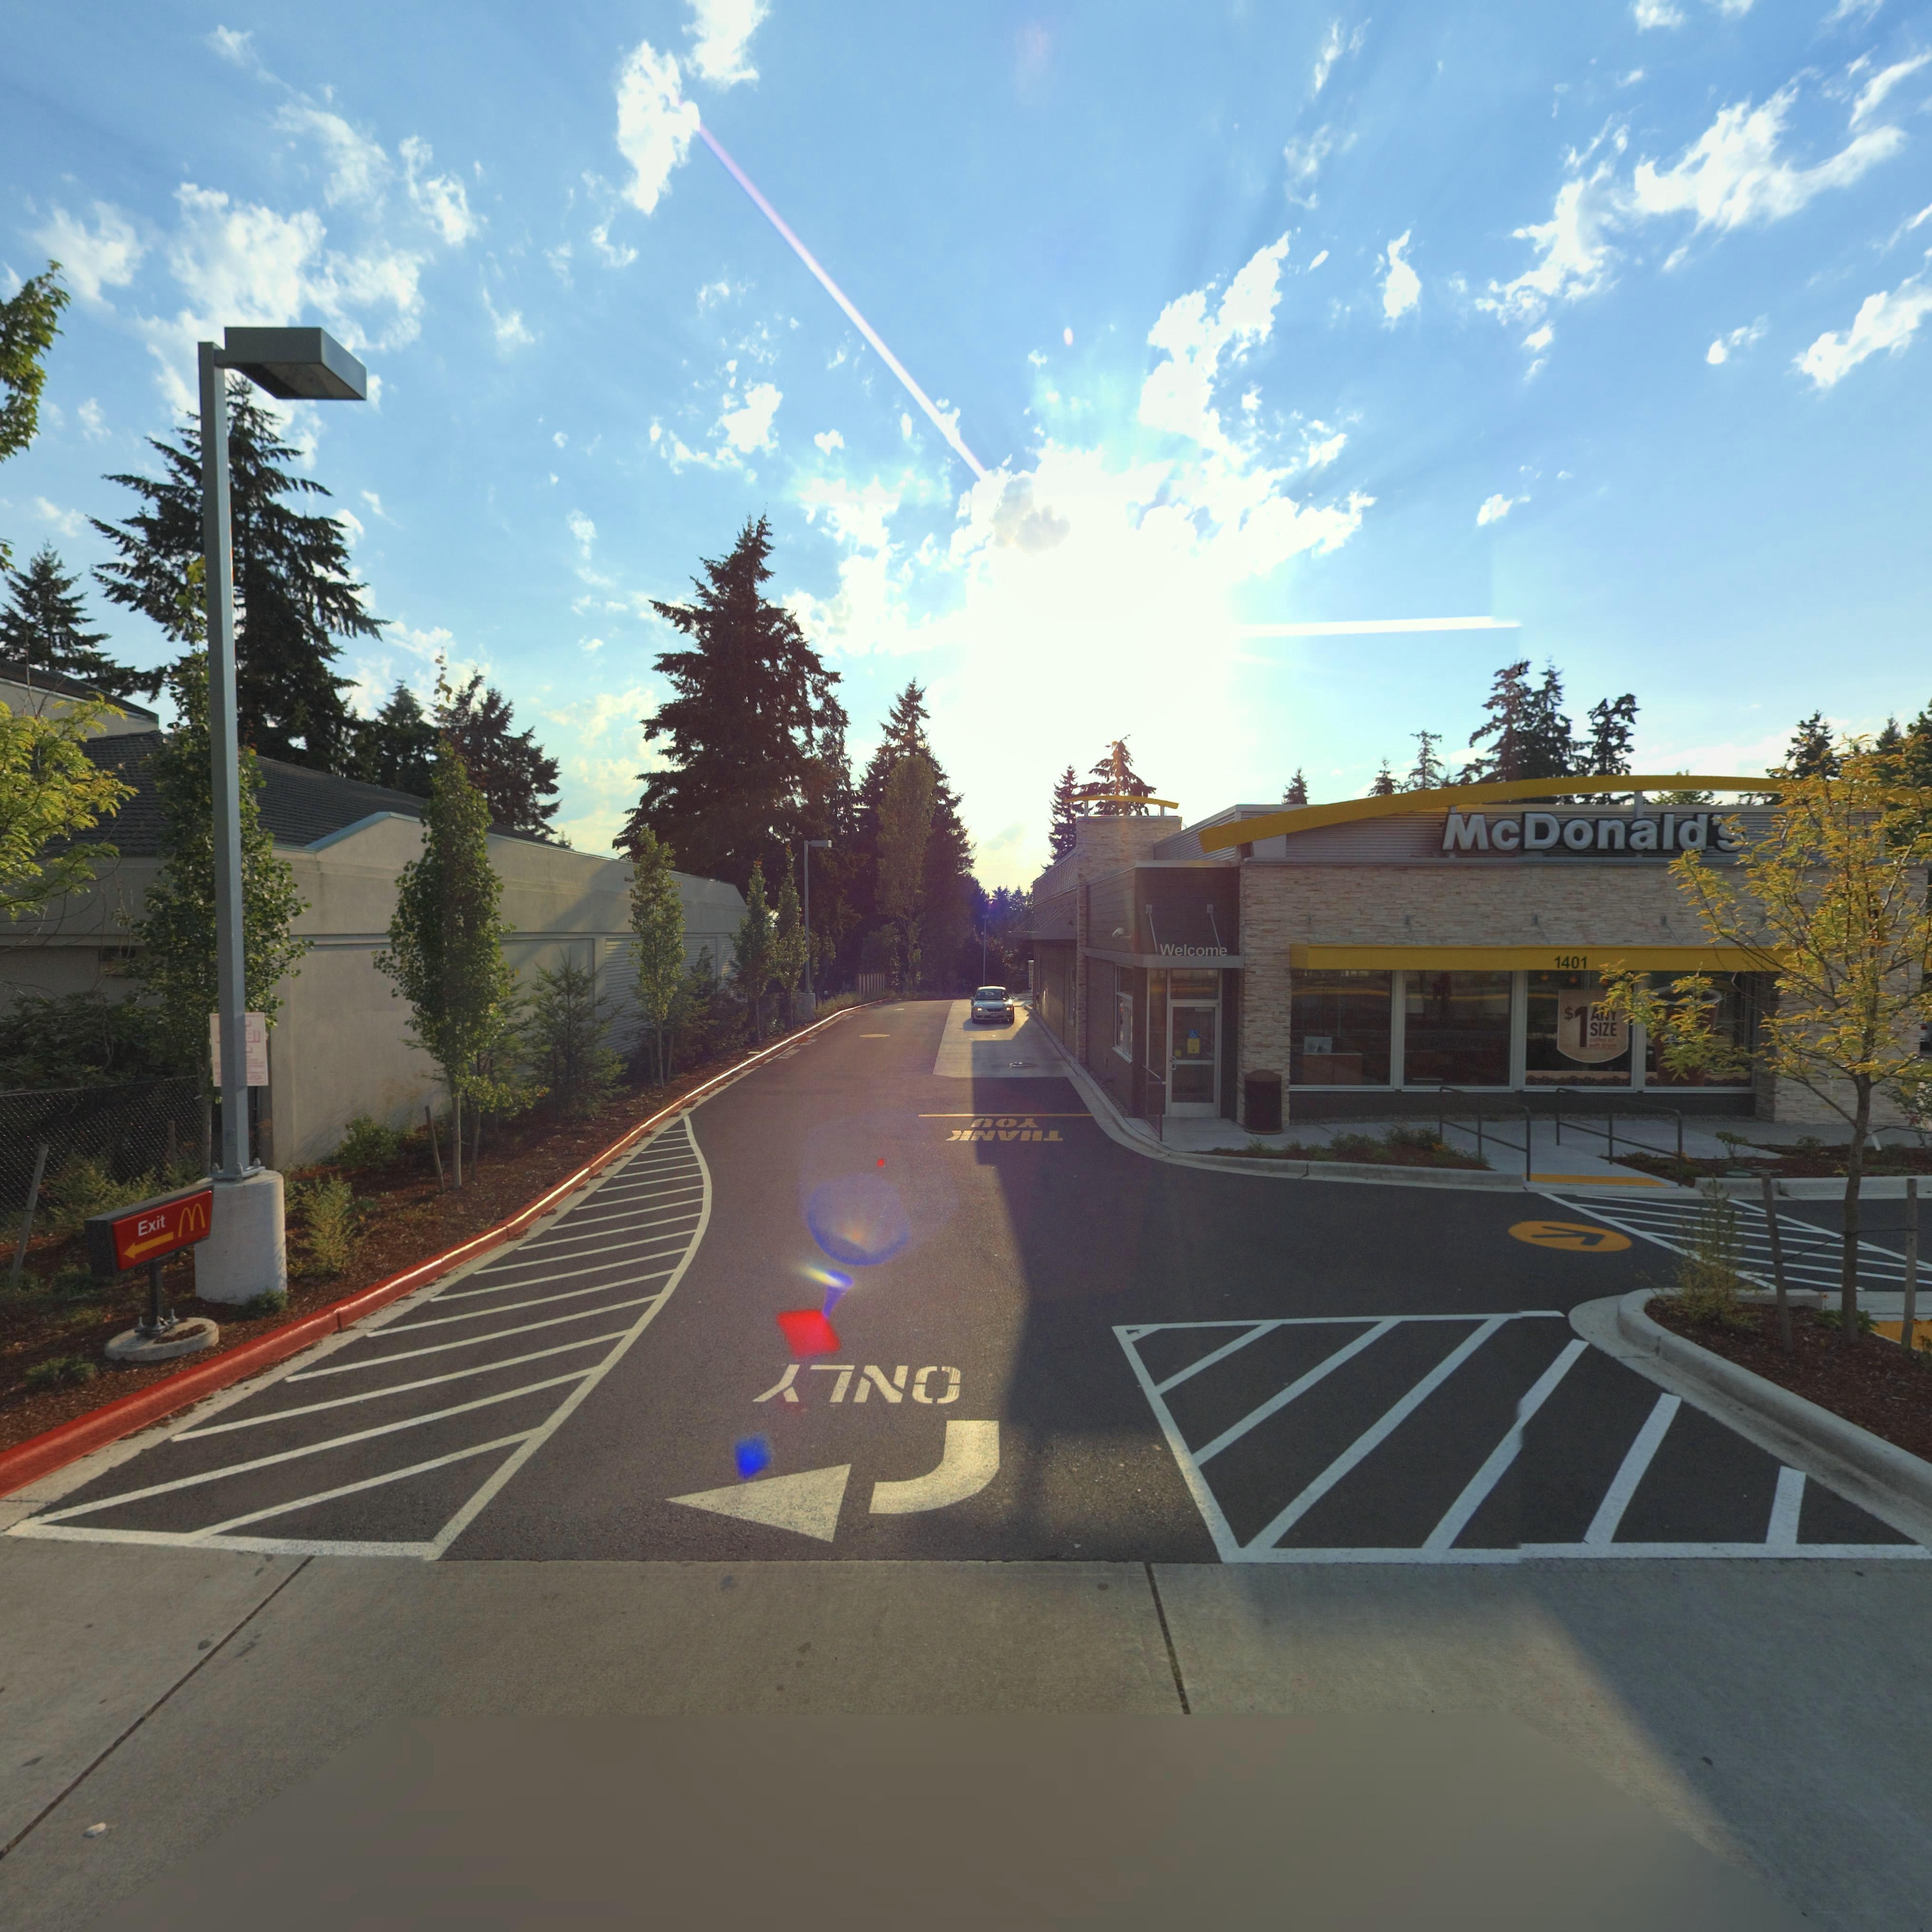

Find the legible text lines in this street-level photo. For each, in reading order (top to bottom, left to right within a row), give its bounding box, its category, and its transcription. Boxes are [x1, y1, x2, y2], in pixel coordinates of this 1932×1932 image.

[1442, 812, 1707, 850] BusinessName: McDonald
[1553, 955, 1588, 969] StreetNumber: 1401